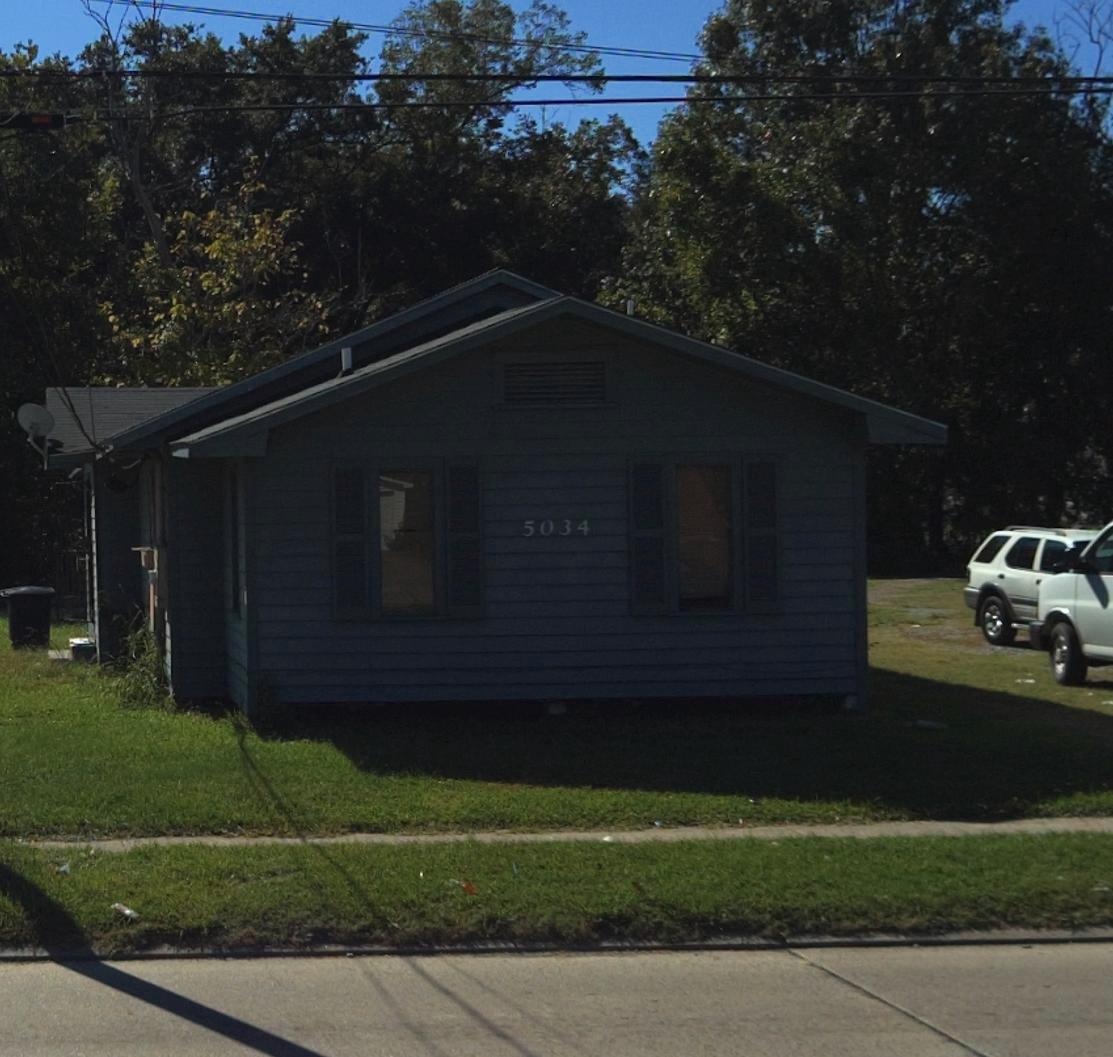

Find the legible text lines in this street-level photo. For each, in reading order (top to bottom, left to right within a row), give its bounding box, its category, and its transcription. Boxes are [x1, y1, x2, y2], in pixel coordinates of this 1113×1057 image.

[522, 517, 590, 538] StreetNumber: 5034